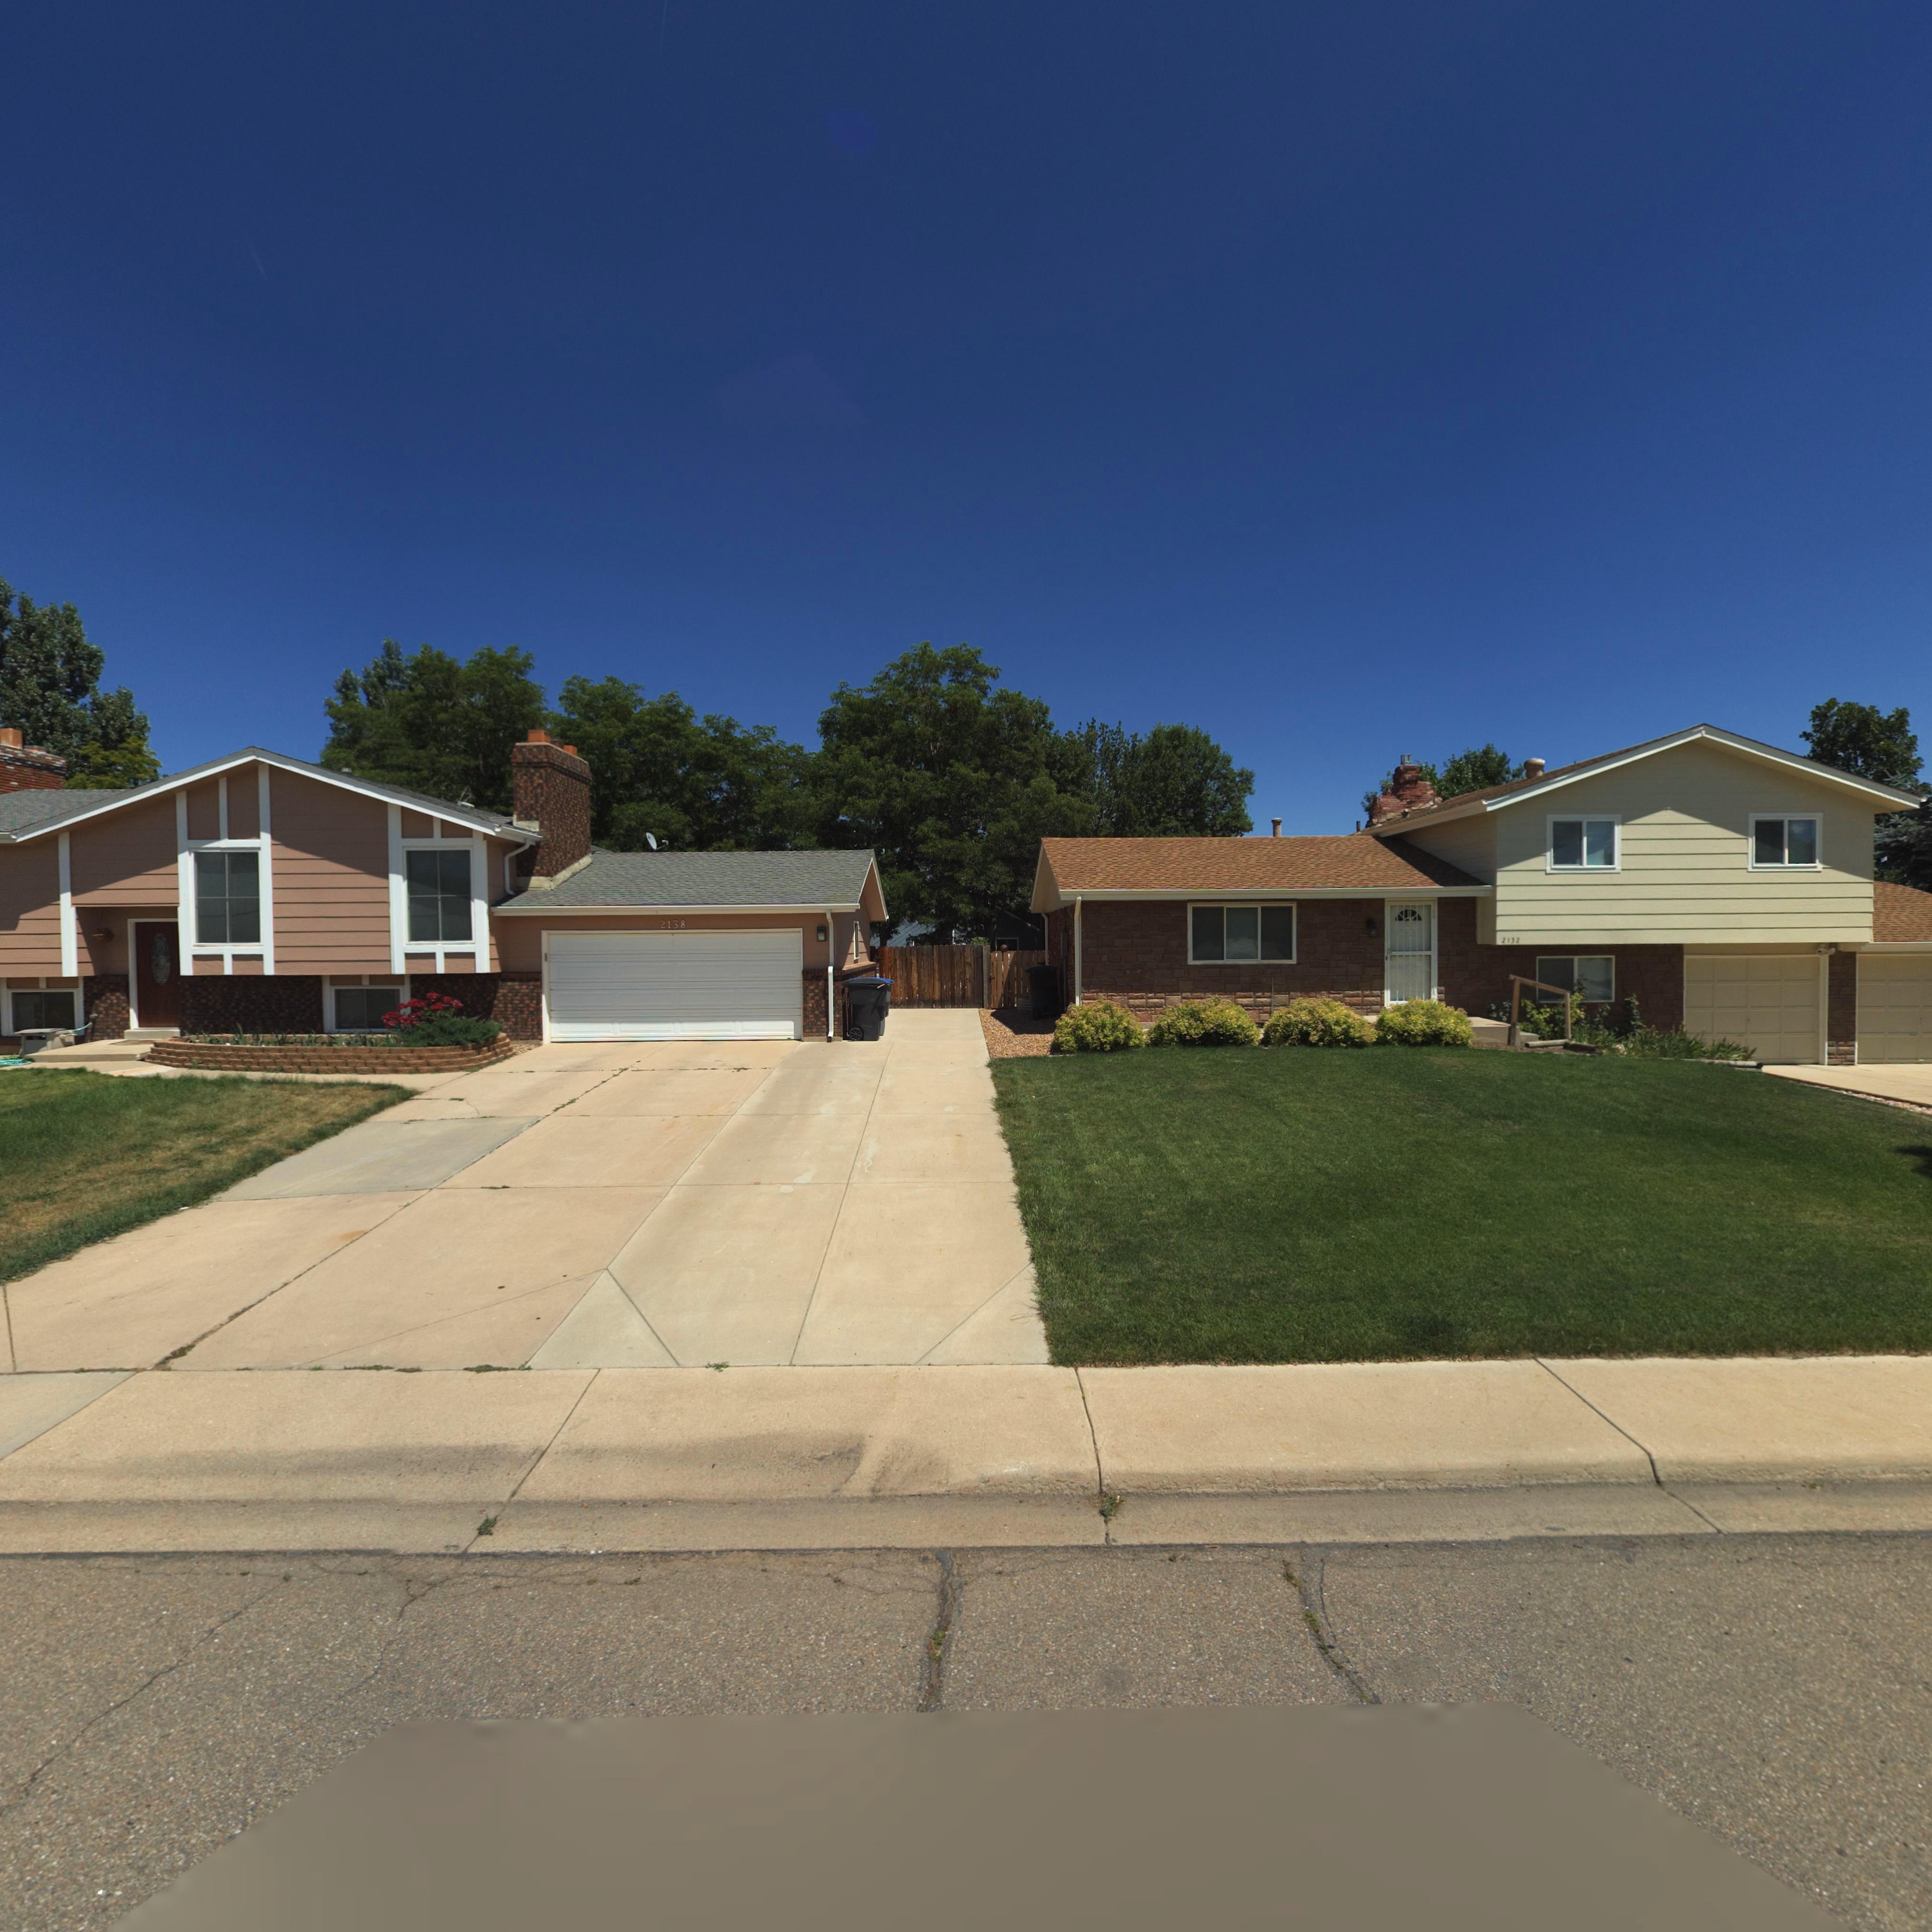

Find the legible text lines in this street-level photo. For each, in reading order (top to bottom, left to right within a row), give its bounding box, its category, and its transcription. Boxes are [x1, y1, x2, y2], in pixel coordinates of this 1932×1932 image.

[660, 919, 686, 928] StreetNumber: 2138
[1502, 937, 1519, 944] StreetNumber: 2132